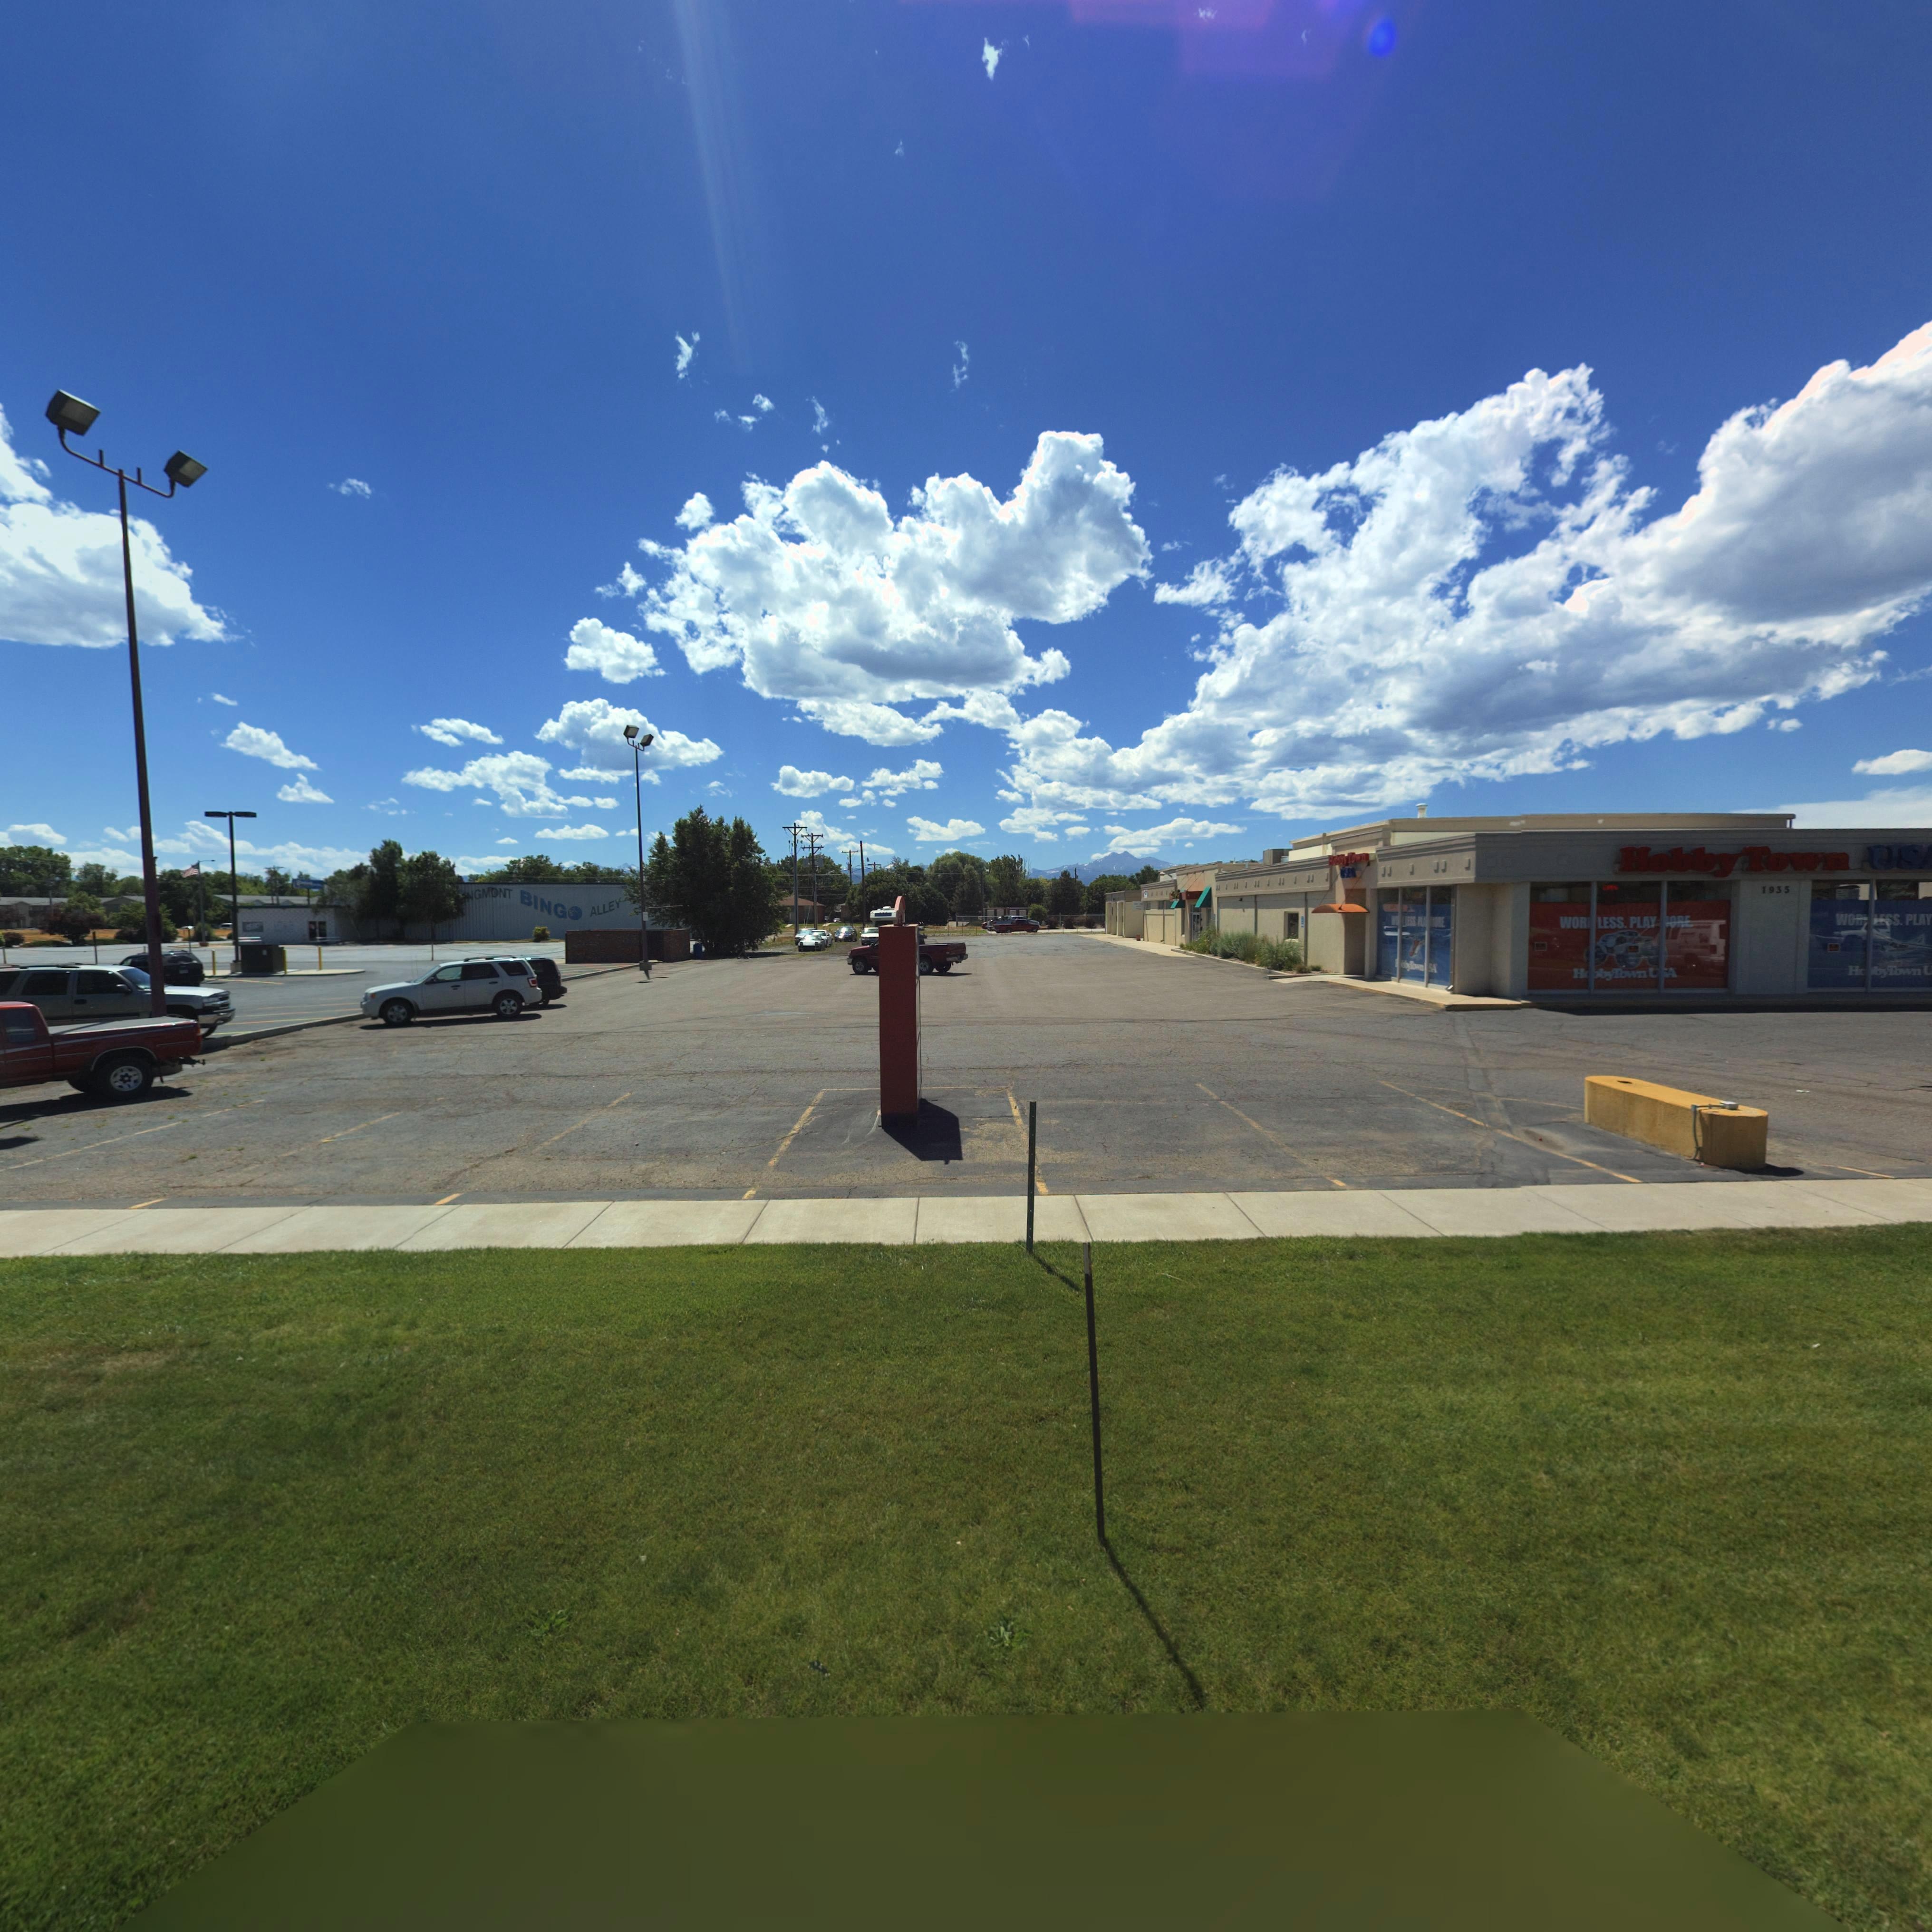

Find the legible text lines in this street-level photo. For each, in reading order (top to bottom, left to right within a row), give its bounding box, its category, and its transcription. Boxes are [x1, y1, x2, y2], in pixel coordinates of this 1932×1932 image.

[1328, 851, 1366, 867] BusinessName: Hobby Town
[1619, 843, 1924, 878] BusinessName: HobbyTown US
[1340, 867, 1354, 879] BusinessName: USA
[1762, 885, 1790, 894] StreetNumber: 1935
[466, 887, 621, 921] BusinessName: NGMONT BING* ALLEY
[1394, 958, 1438, 973] BusinessName: **bbyTown *SA
[1572, 966, 1678, 982] BusinessName: H**byTown U*A
[1848, 965, 1922, 978] BusinessName: H**byTown